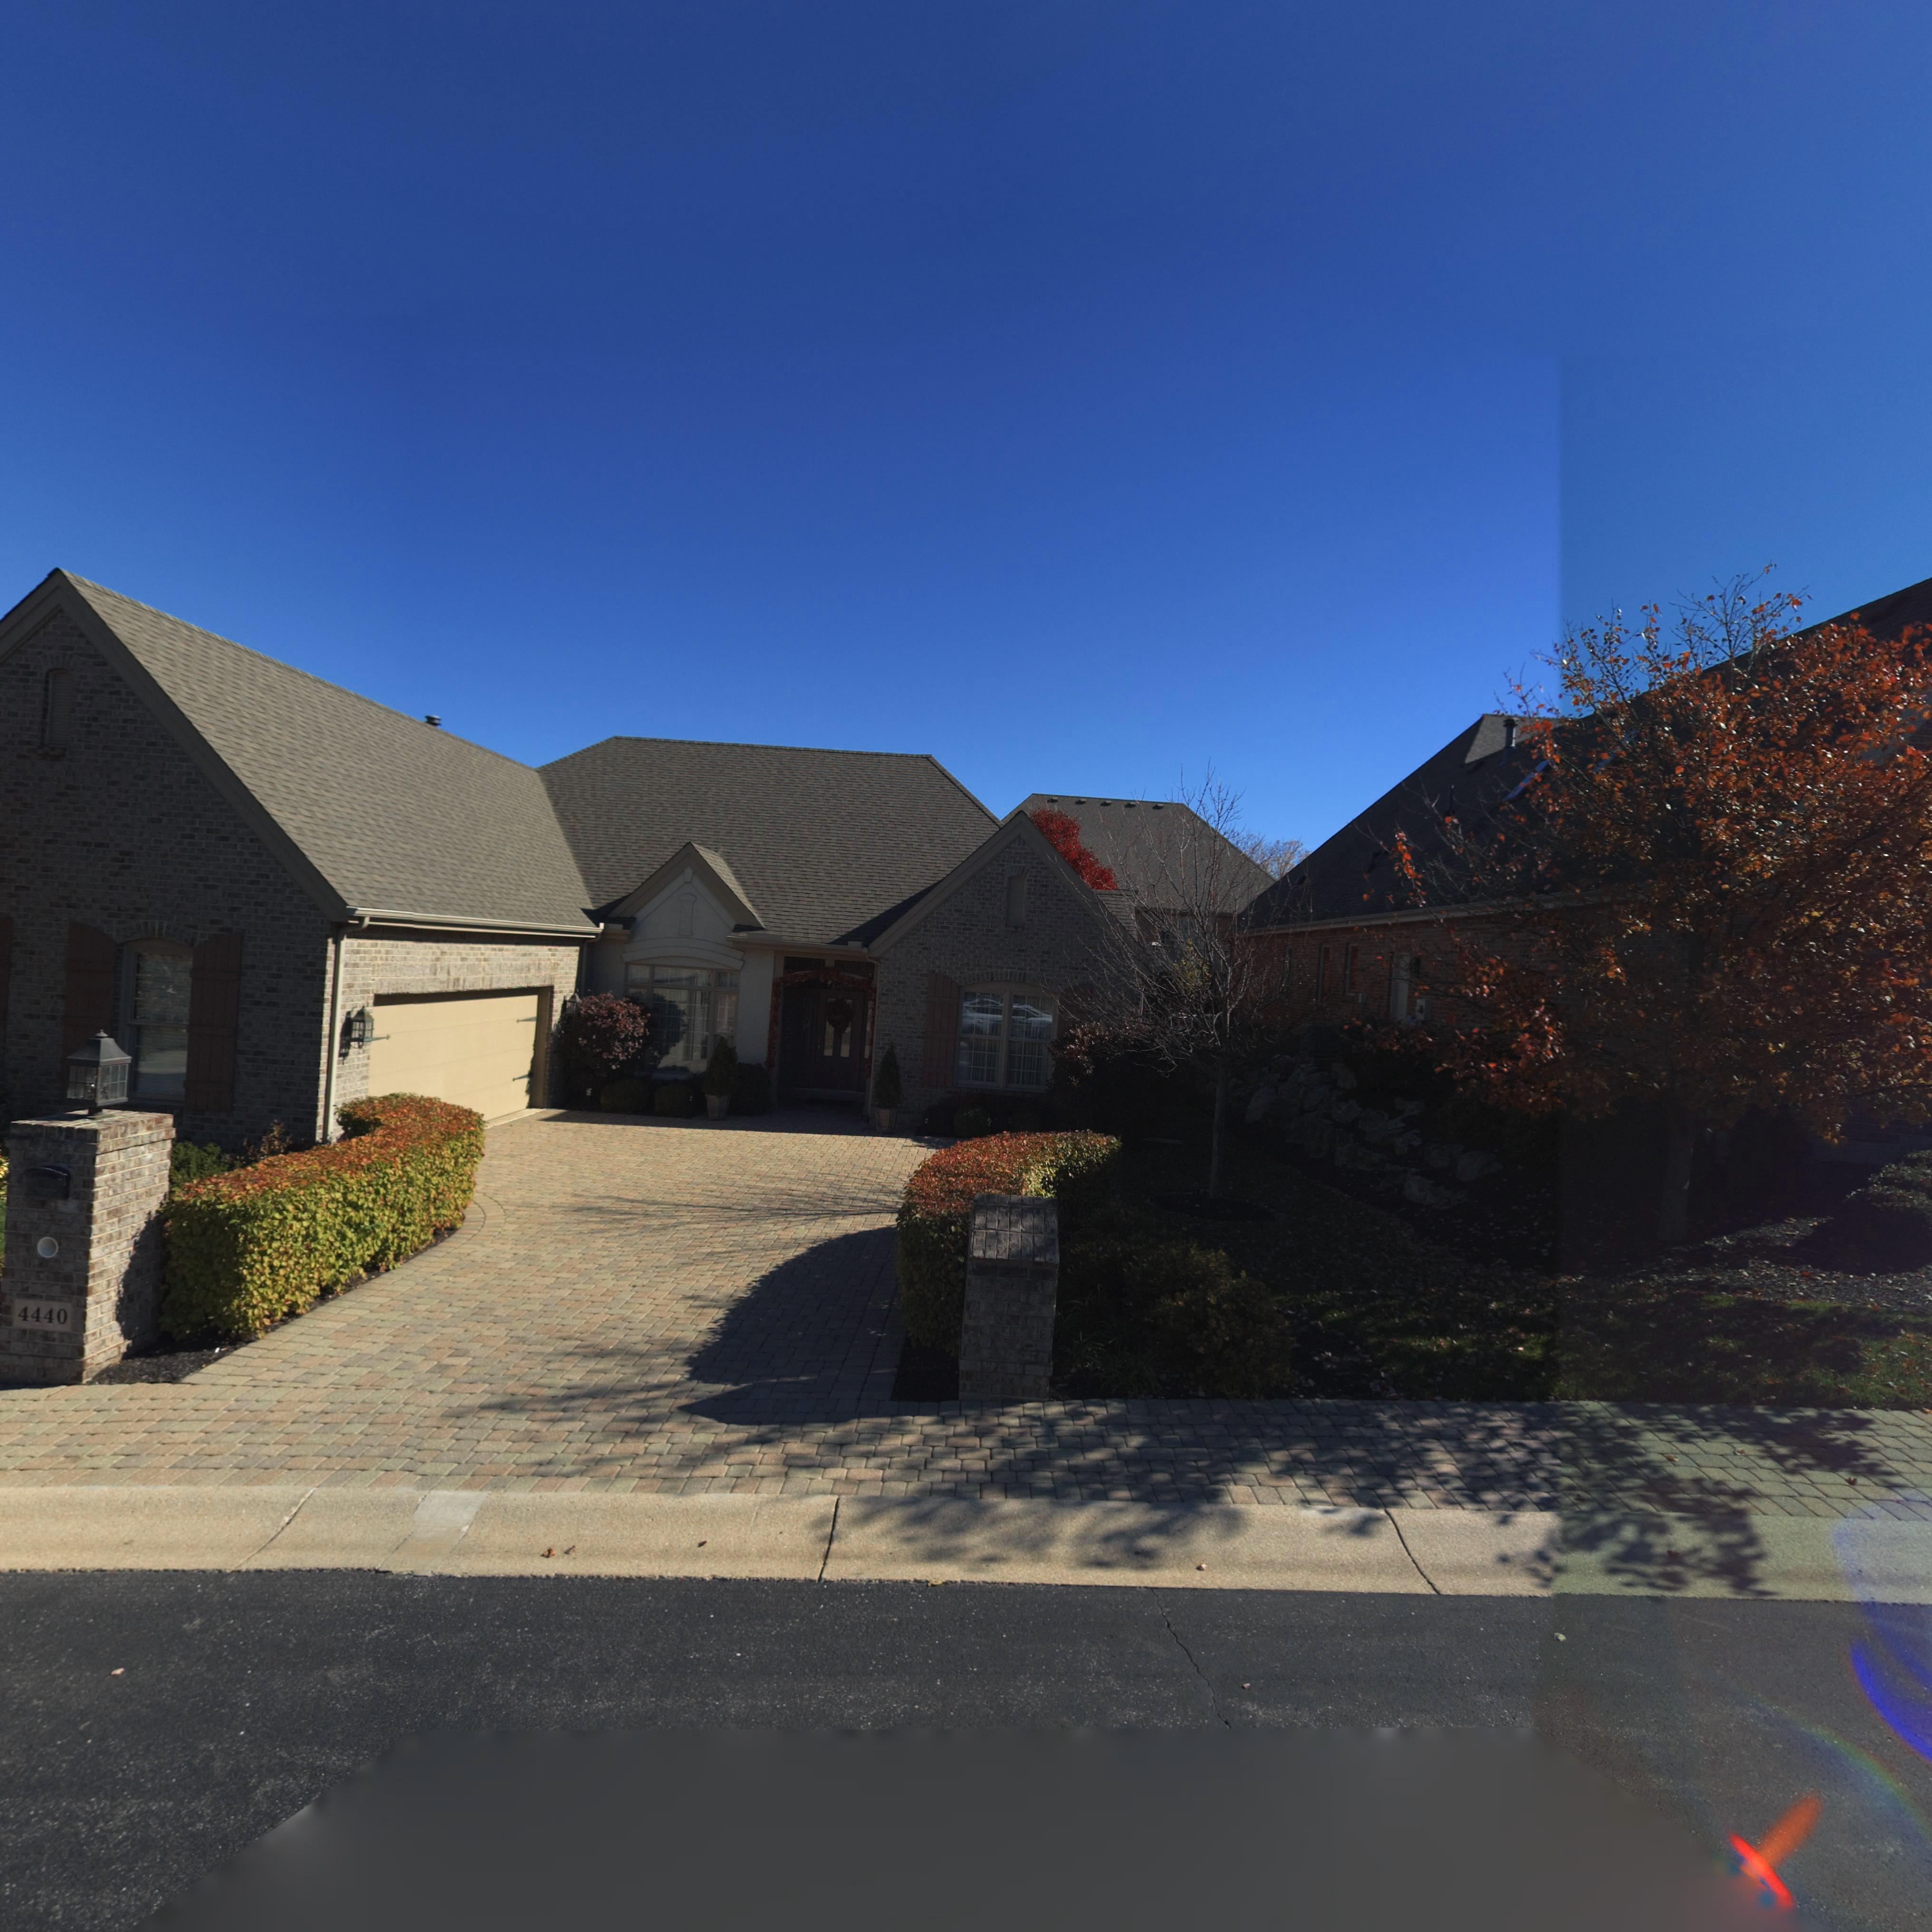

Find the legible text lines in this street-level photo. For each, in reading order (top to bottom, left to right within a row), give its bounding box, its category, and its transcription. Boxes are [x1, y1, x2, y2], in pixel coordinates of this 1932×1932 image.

[16, 1304, 71, 1327] StreetNumber: 4440